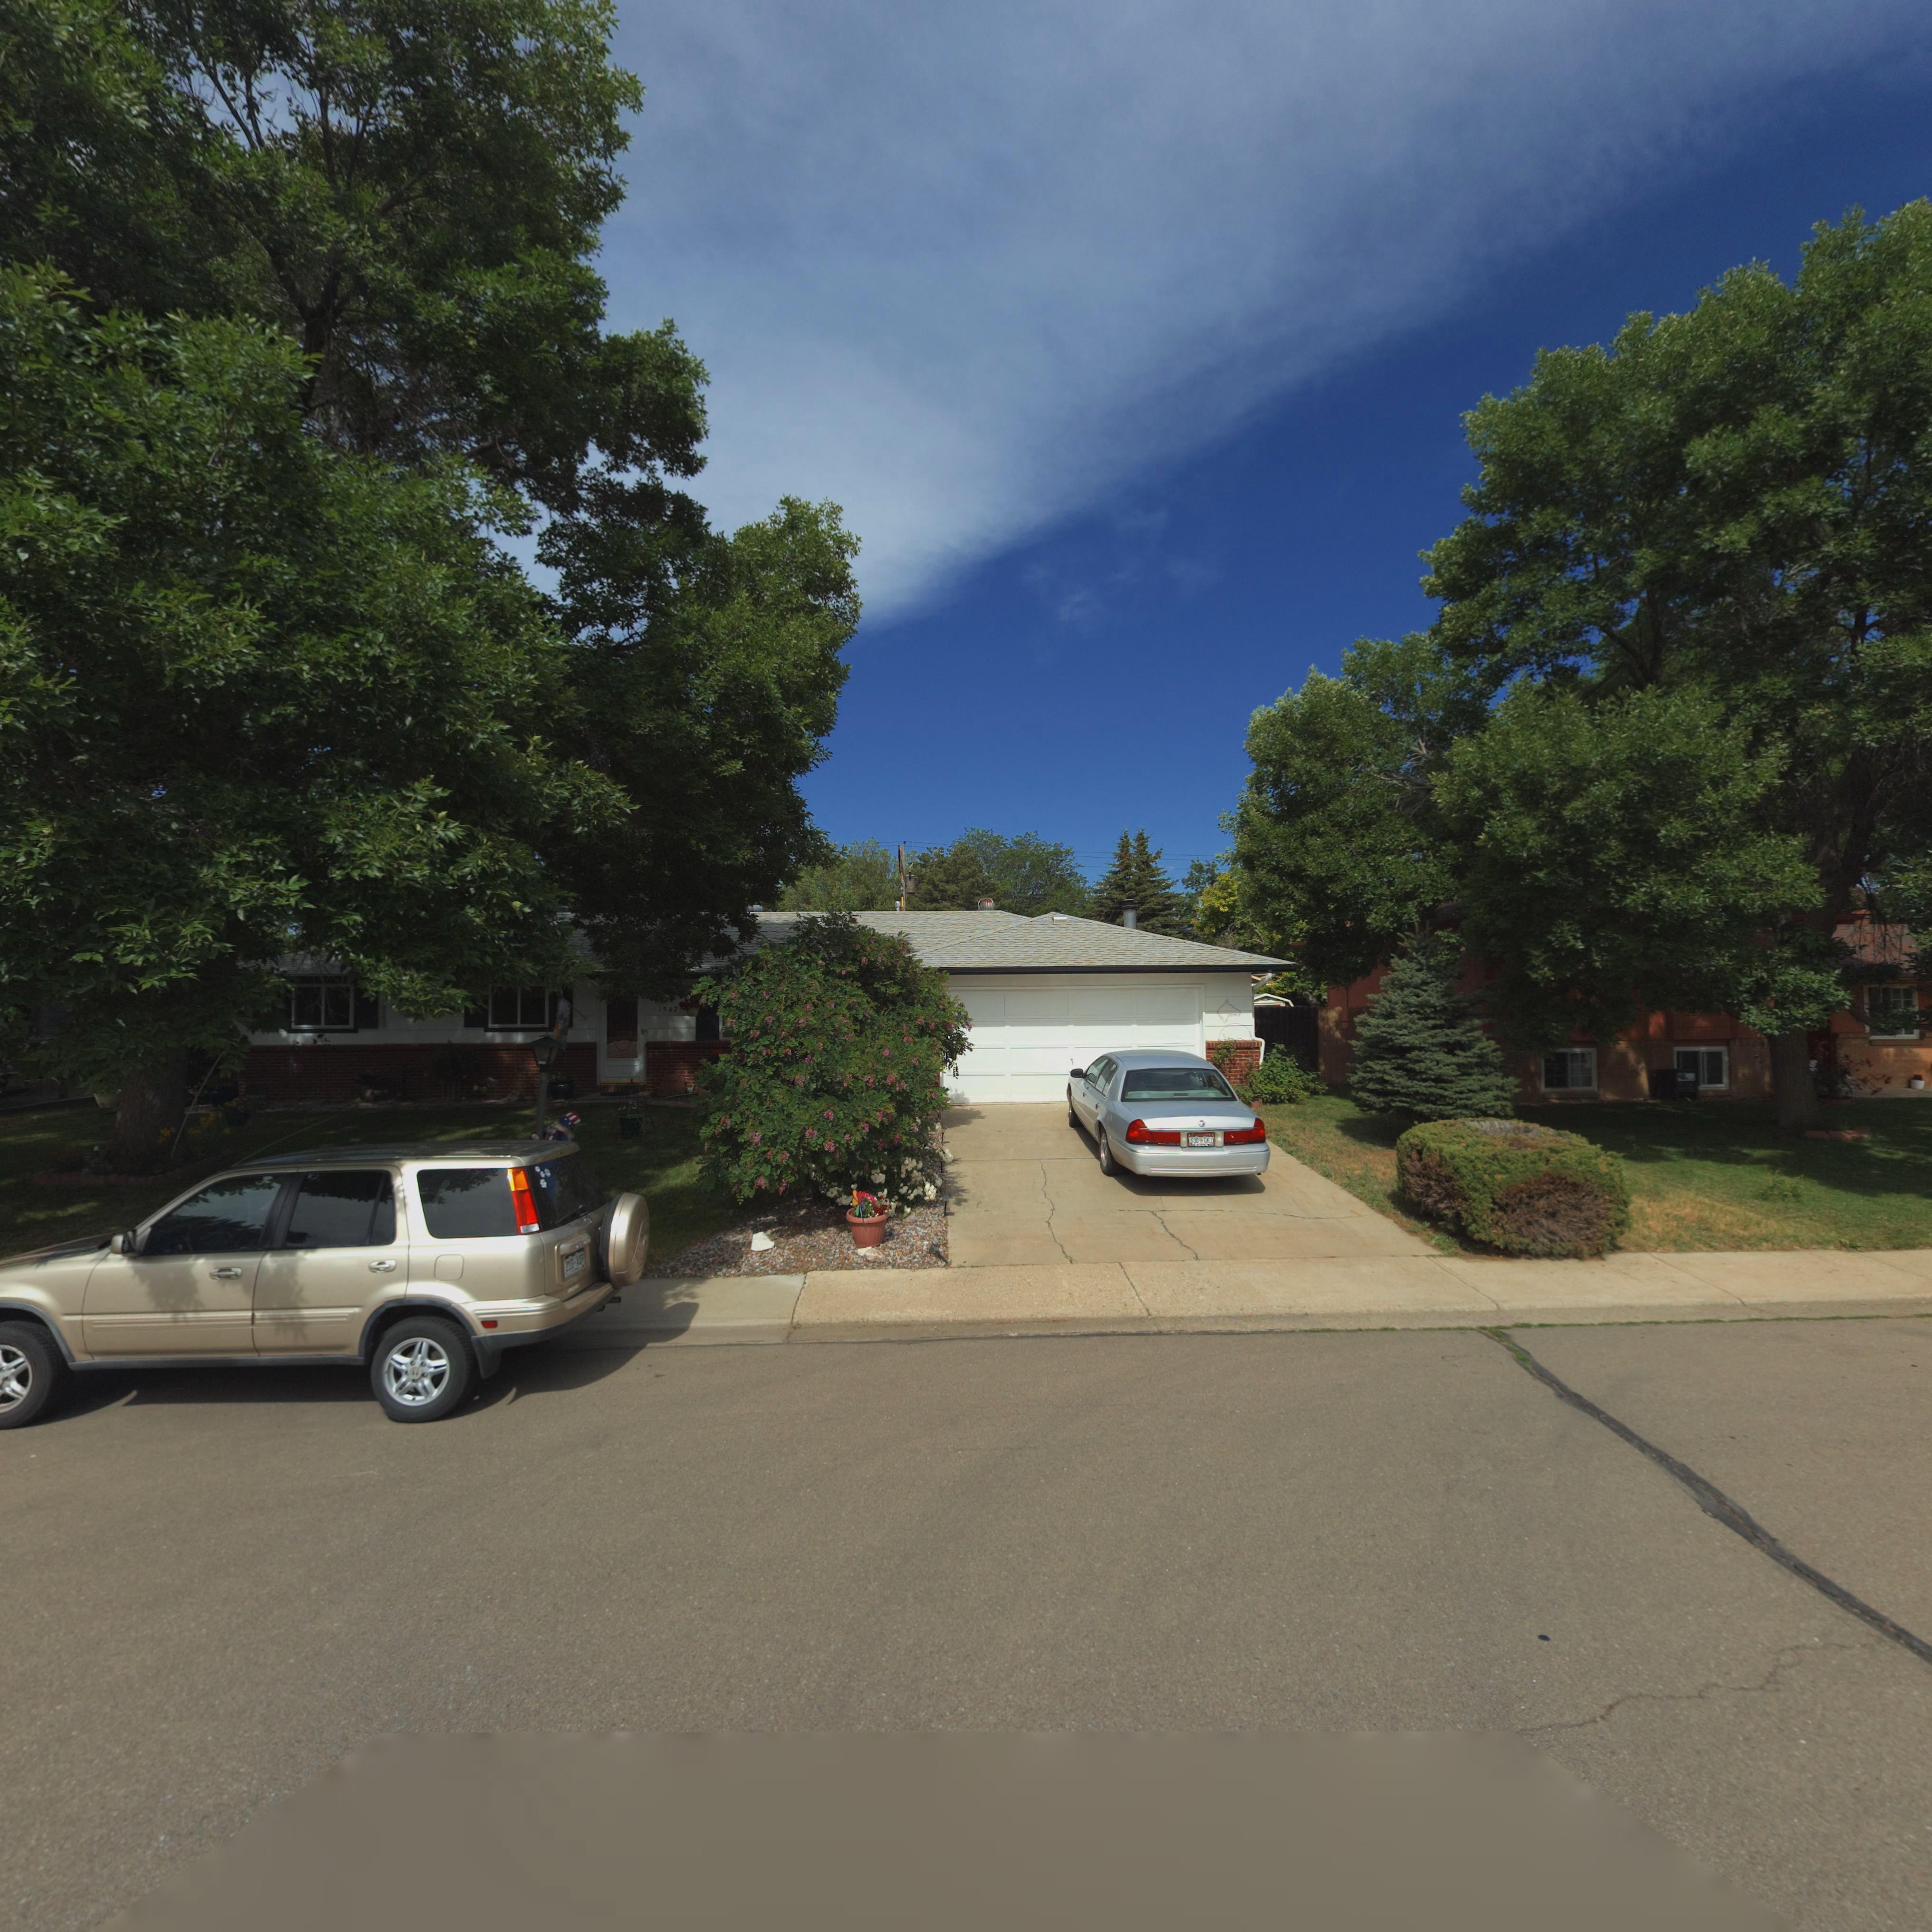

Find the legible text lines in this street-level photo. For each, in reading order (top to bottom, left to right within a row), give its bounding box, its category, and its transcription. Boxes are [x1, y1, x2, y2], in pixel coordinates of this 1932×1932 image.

[657, 1005, 679, 1013] StreetNumber: 1547